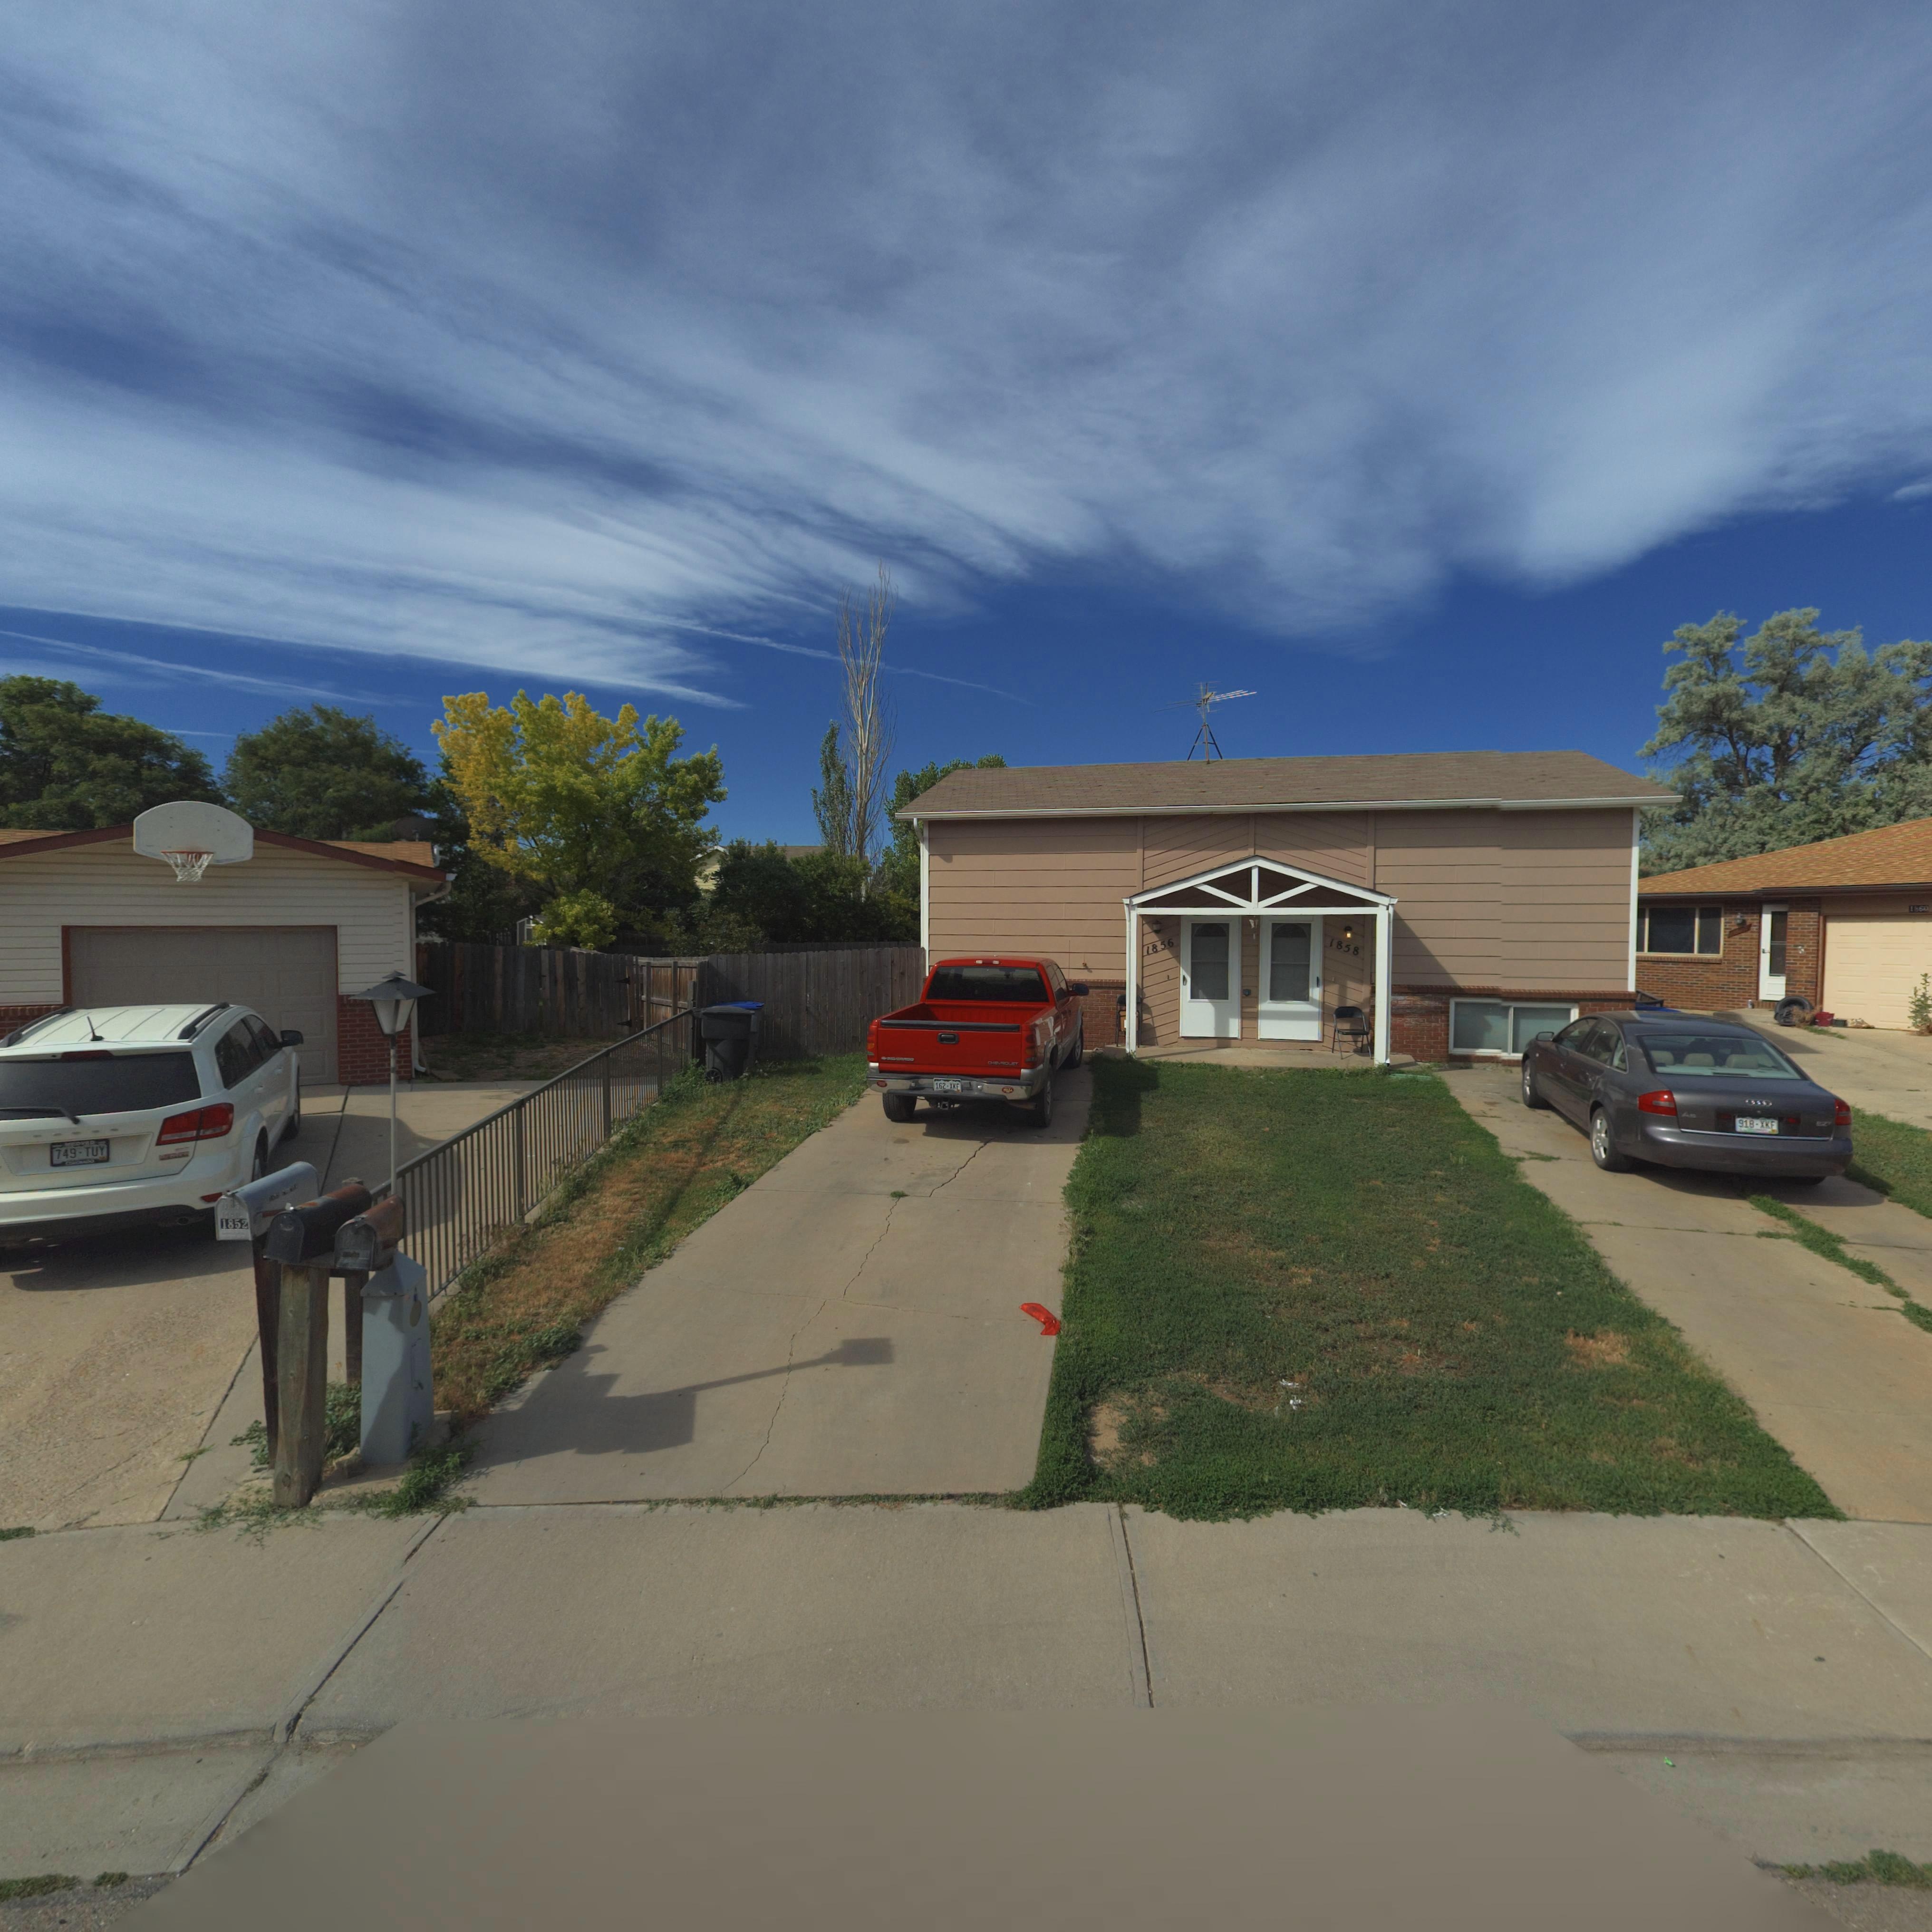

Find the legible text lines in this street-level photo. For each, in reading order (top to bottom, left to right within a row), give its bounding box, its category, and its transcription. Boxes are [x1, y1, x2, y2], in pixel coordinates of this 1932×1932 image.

[1146, 937, 1175, 955] StreetNumber: 1856
[1329, 938, 1359, 956] StreetNumber: 1858
[221, 1217, 249, 1229] StreetNumber: 1852